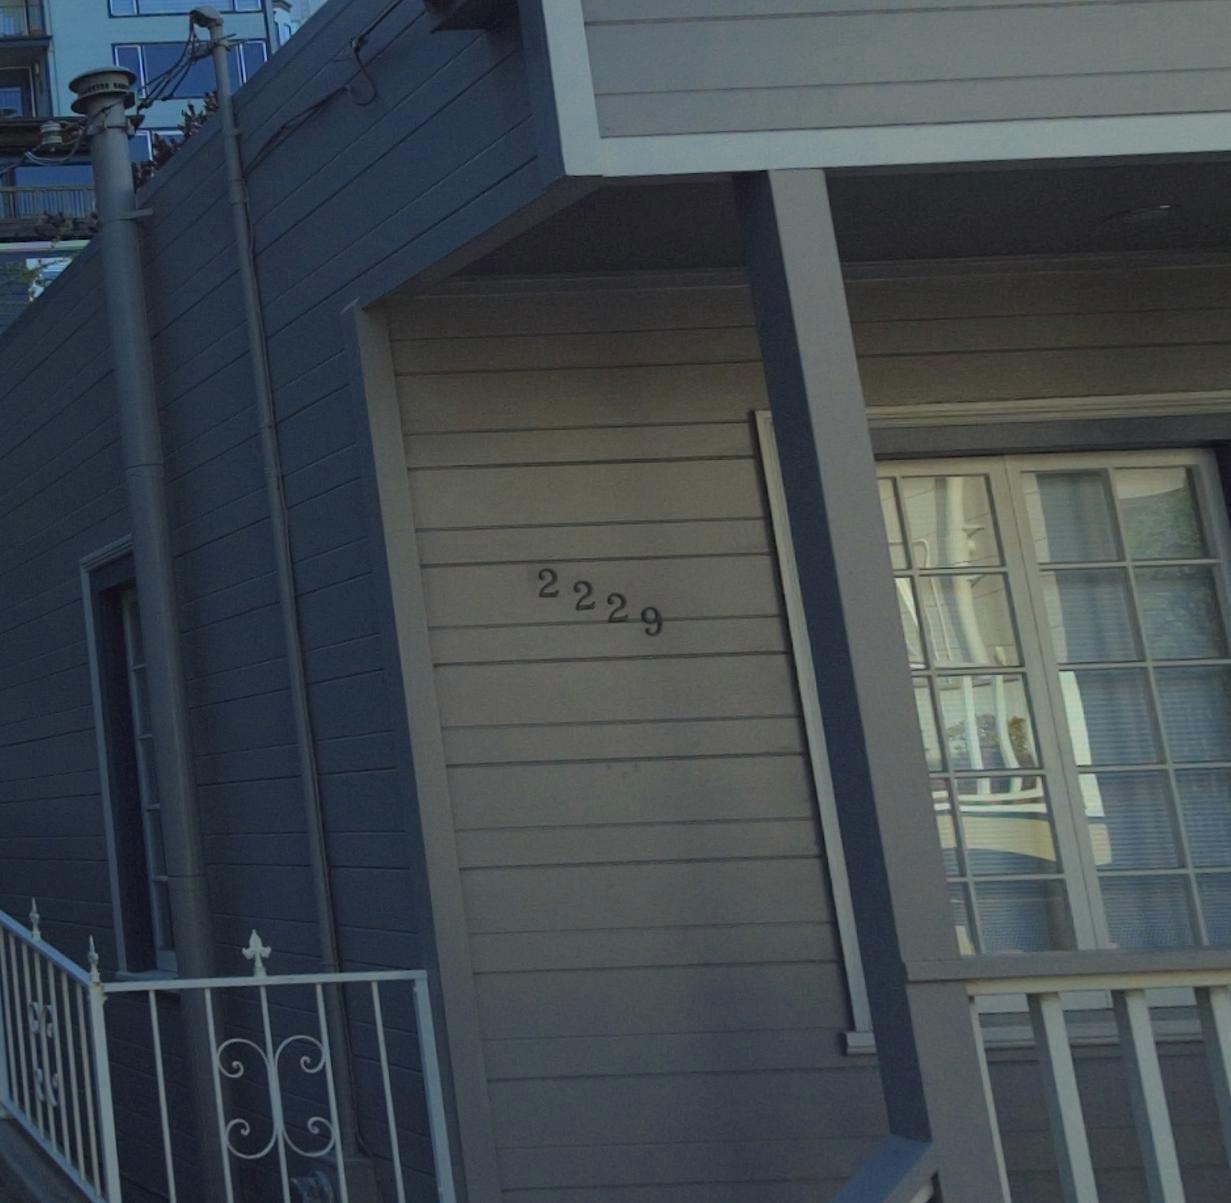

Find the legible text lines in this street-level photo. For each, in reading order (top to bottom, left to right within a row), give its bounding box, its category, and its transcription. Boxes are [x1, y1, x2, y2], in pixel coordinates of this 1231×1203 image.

[534, 561, 668, 644] StreetNumber: 2229